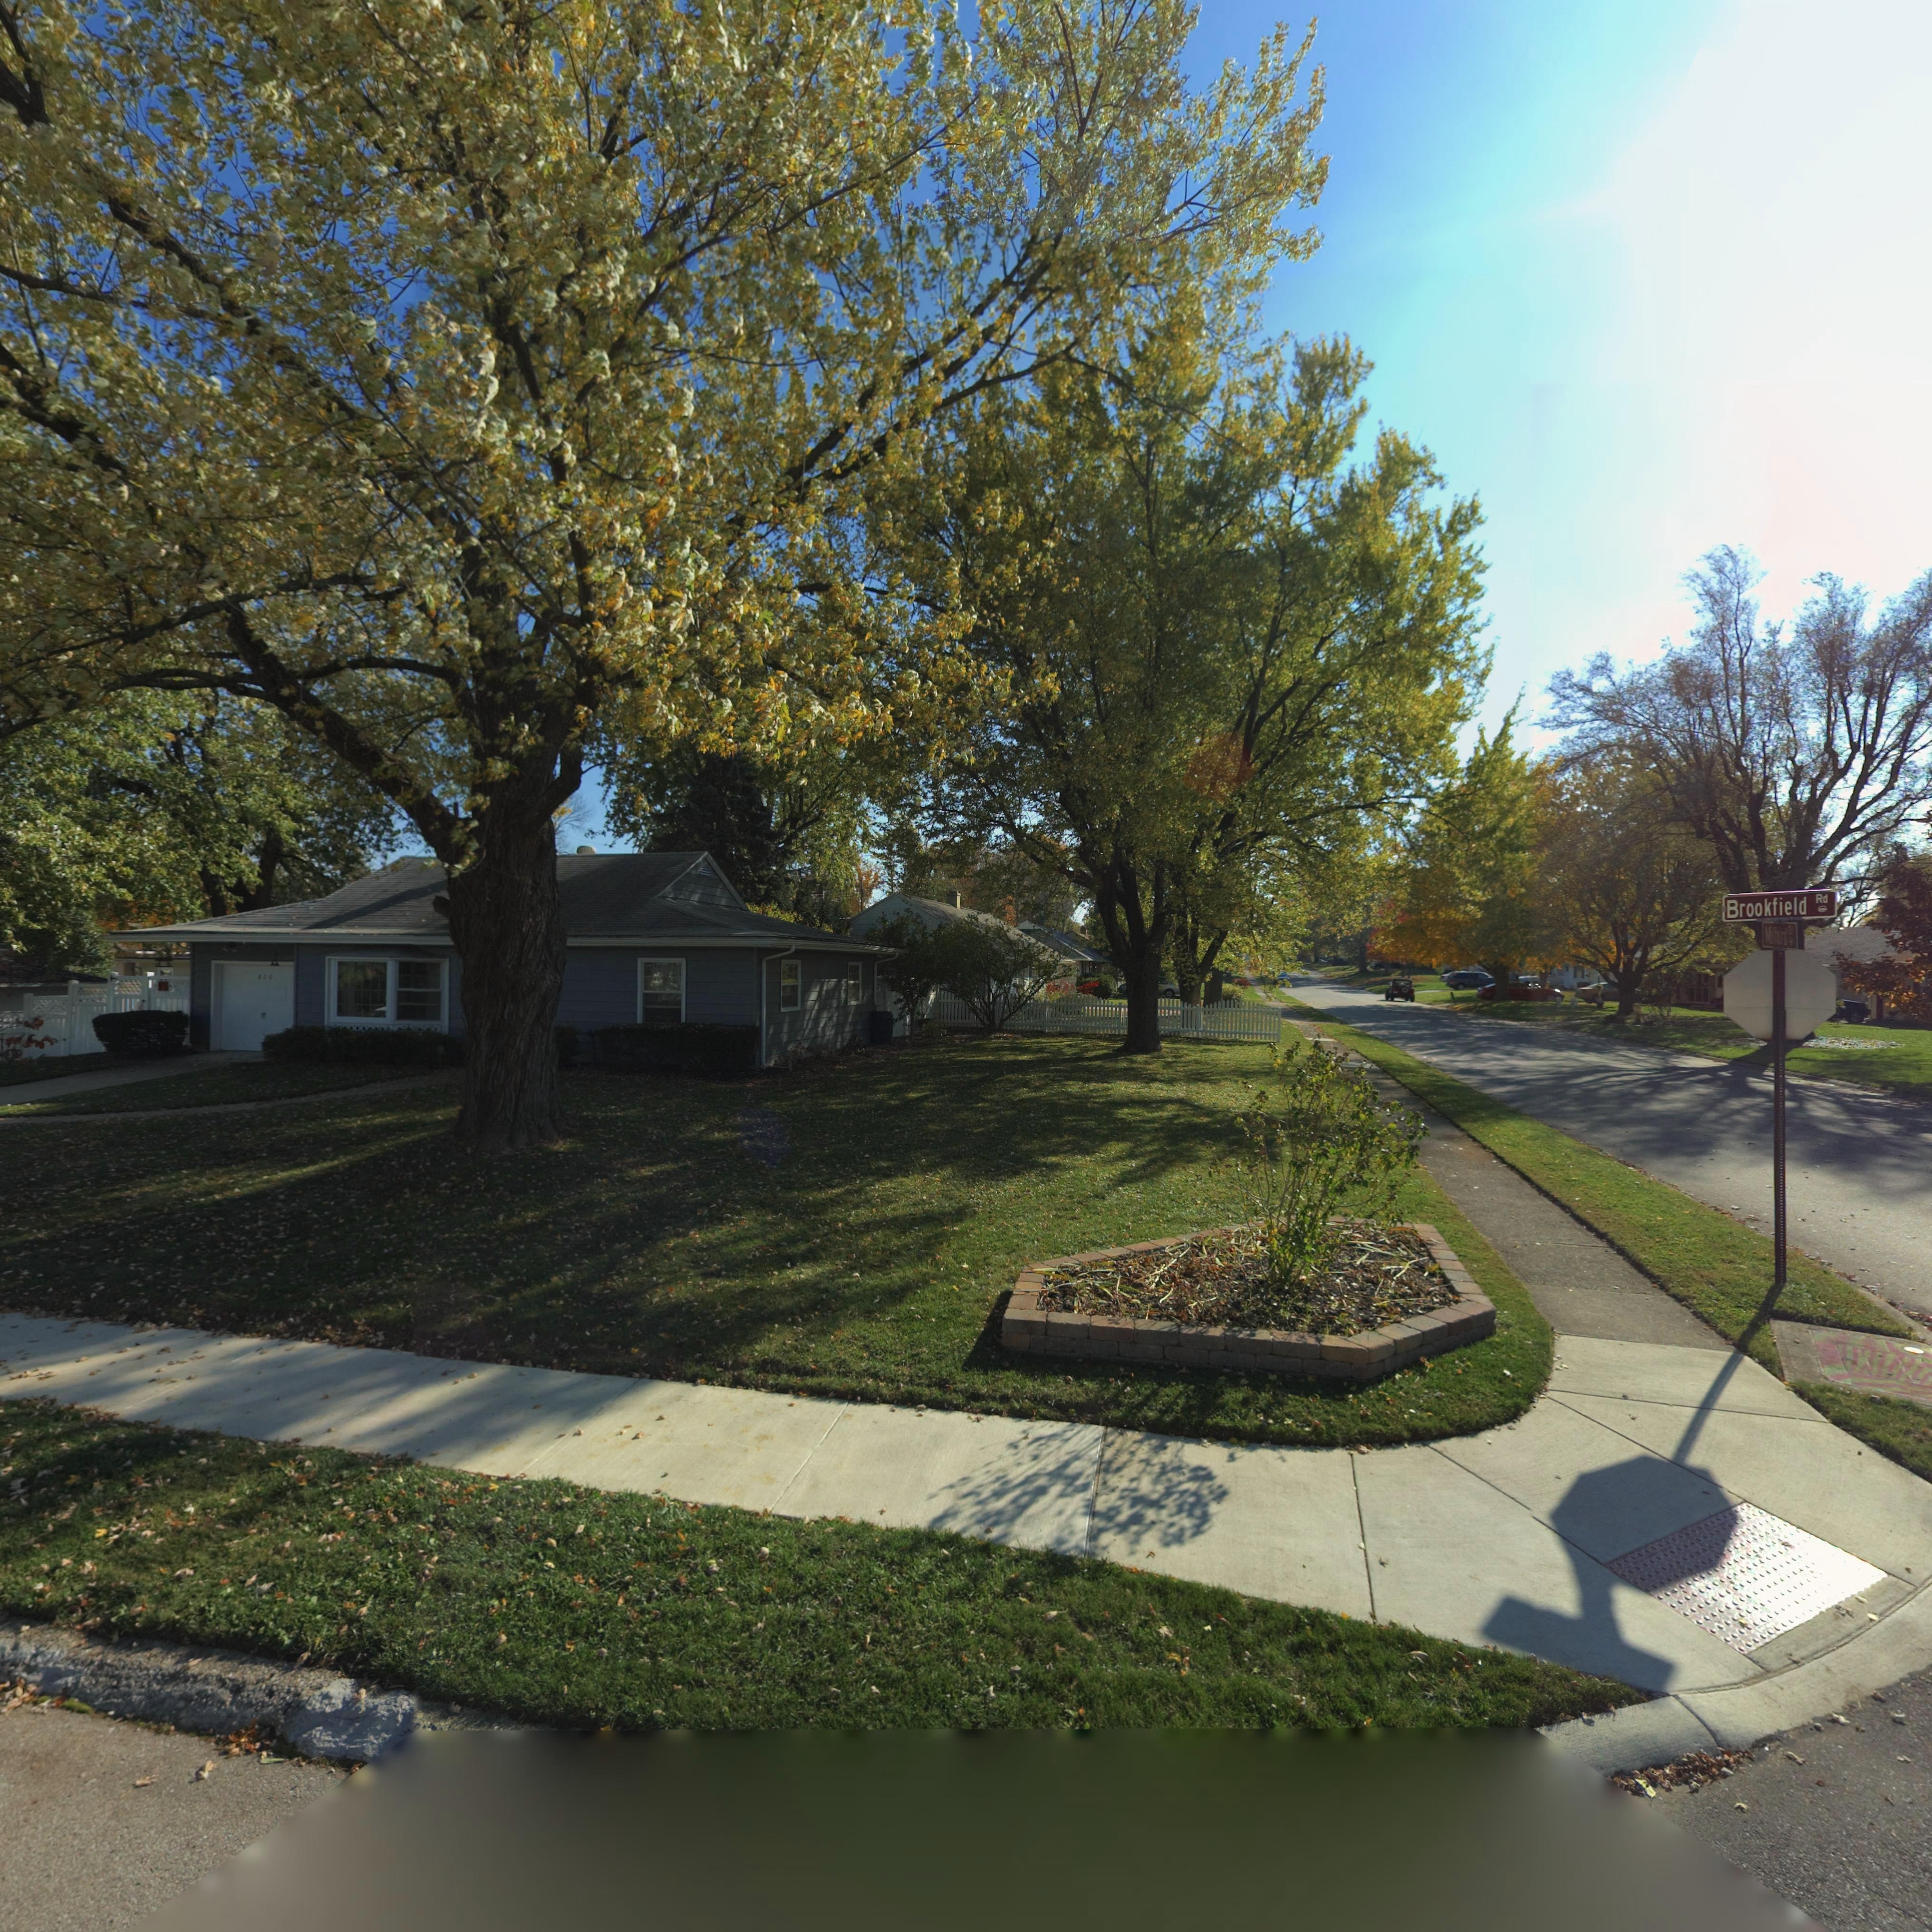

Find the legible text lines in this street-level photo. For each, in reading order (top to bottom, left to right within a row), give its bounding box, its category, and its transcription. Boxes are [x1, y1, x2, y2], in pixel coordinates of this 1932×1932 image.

[1726, 892, 1829, 919] StreetName: Brookfield Rd
[257, 973, 273, 979] StreetNumber: 820